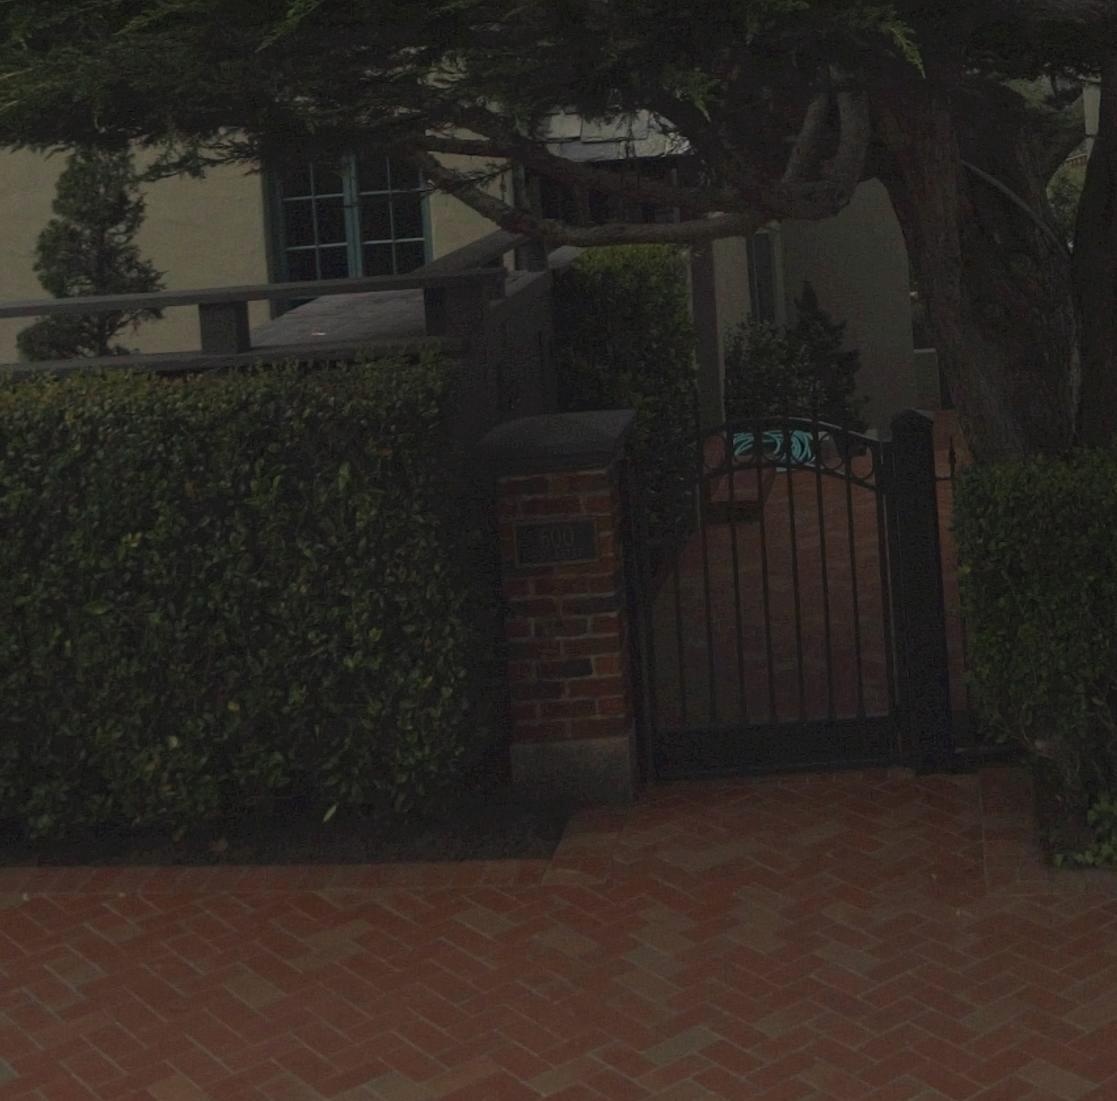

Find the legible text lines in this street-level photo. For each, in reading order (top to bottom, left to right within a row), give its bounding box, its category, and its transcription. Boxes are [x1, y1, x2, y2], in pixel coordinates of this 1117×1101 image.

[538, 524, 575, 550] StreetNumber: 600